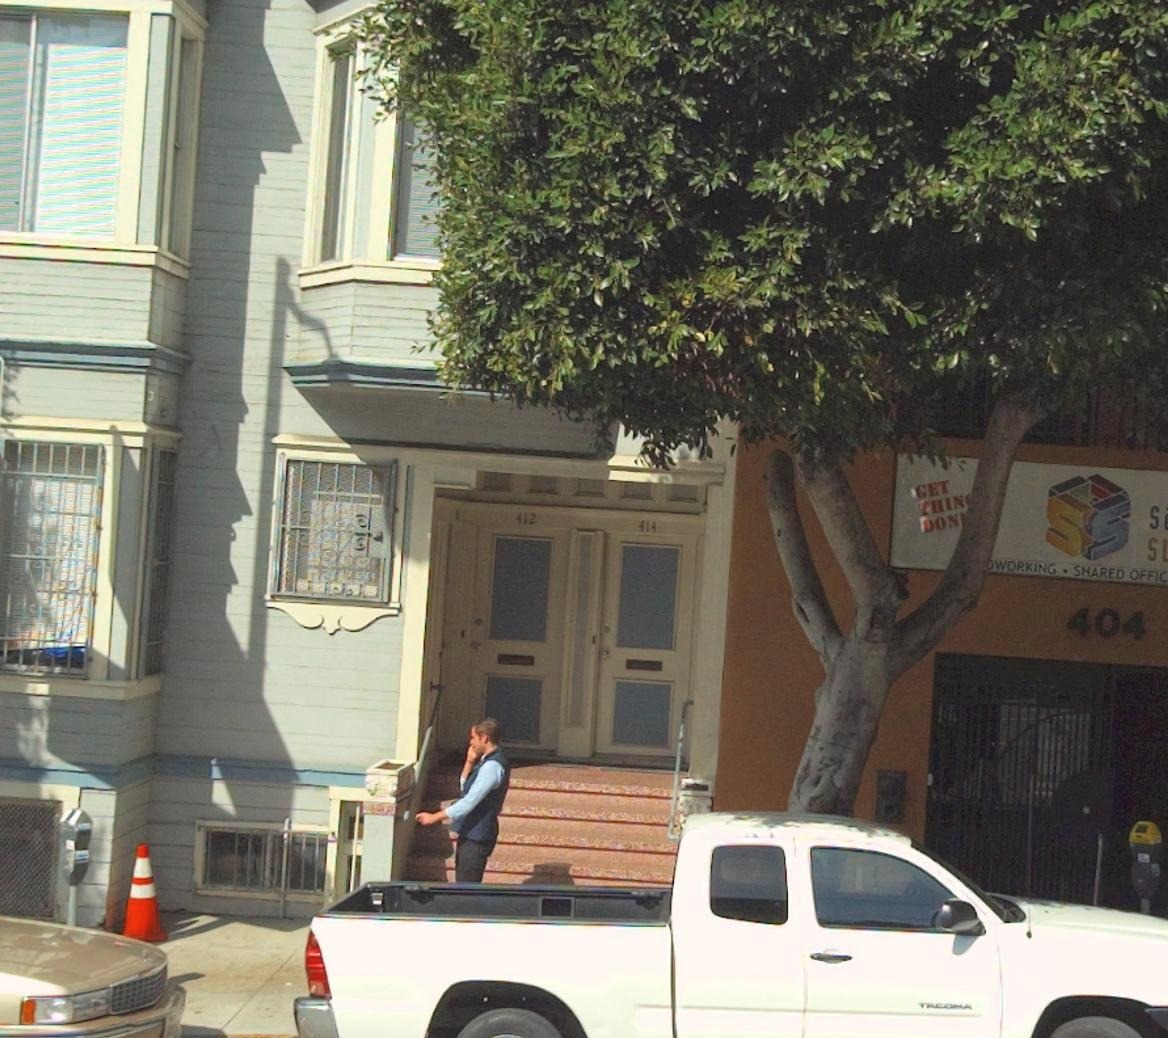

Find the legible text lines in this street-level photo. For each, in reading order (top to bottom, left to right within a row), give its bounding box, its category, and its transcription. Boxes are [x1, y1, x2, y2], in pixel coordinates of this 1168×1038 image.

[917, 365, 960, 398] None: GET
[513, 510, 539, 527] StreetNumber: 412
[637, 519, 659, 534] StreetNumber: 414
[911, 477, 955, 504] None: GET
[918, 508, 965, 539] None: DON
[927, 490, 967, 520] None: HIN
[1041, 488, 1088, 563] None: S
[1084, 494, 1135, 566] None: ES
[1147, 500, 1164, 534] BusinessName: S
[1143, 535, 1162, 565] BusinessName: S
[992, 554, 1168, 586] None: WORKING * SHARED OFFIC
[917, 1000, 977, 1012] None: T*COMA